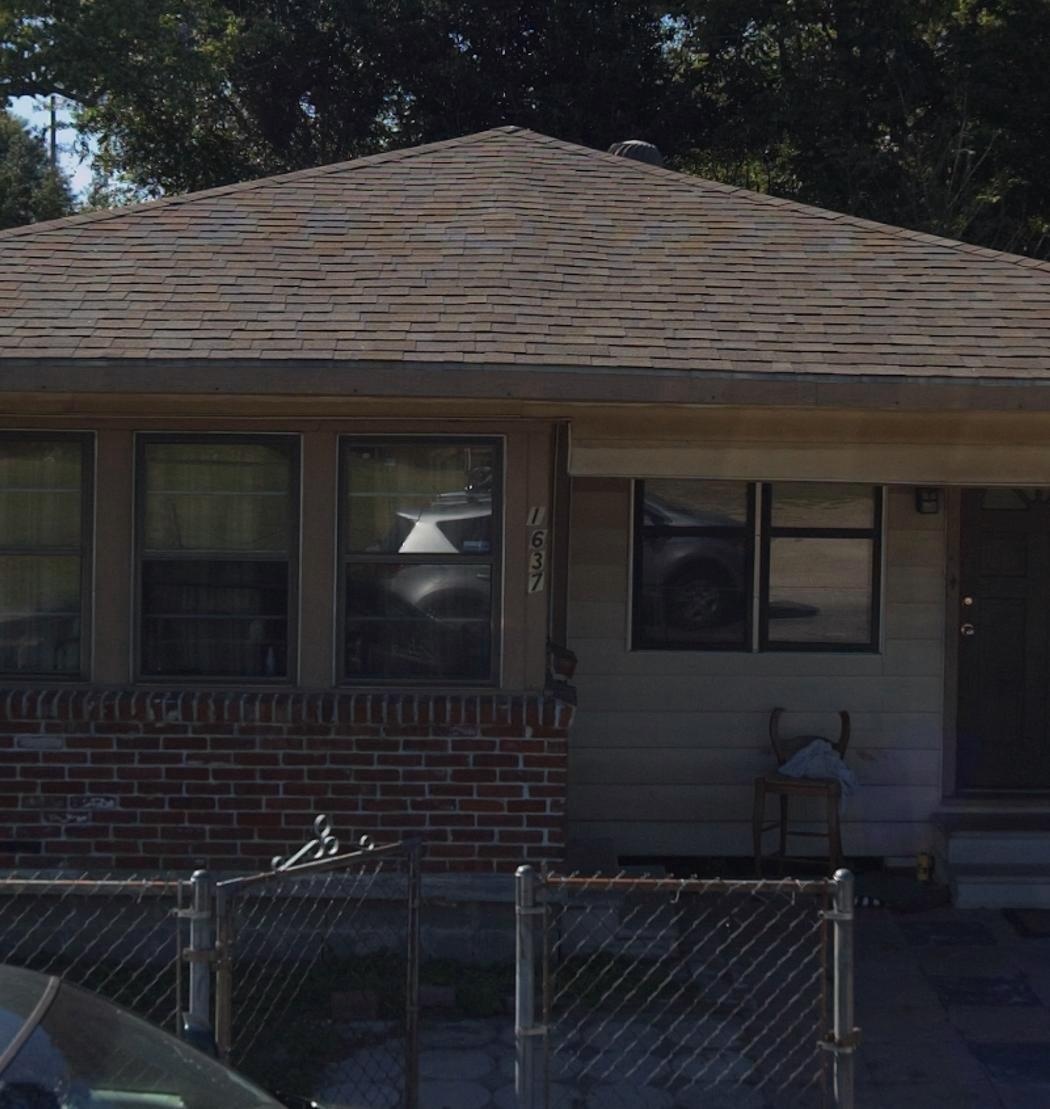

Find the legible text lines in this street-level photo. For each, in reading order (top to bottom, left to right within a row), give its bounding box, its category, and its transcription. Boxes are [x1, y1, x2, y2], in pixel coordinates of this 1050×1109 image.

[528, 506, 544, 593] StreetNumber: 1637